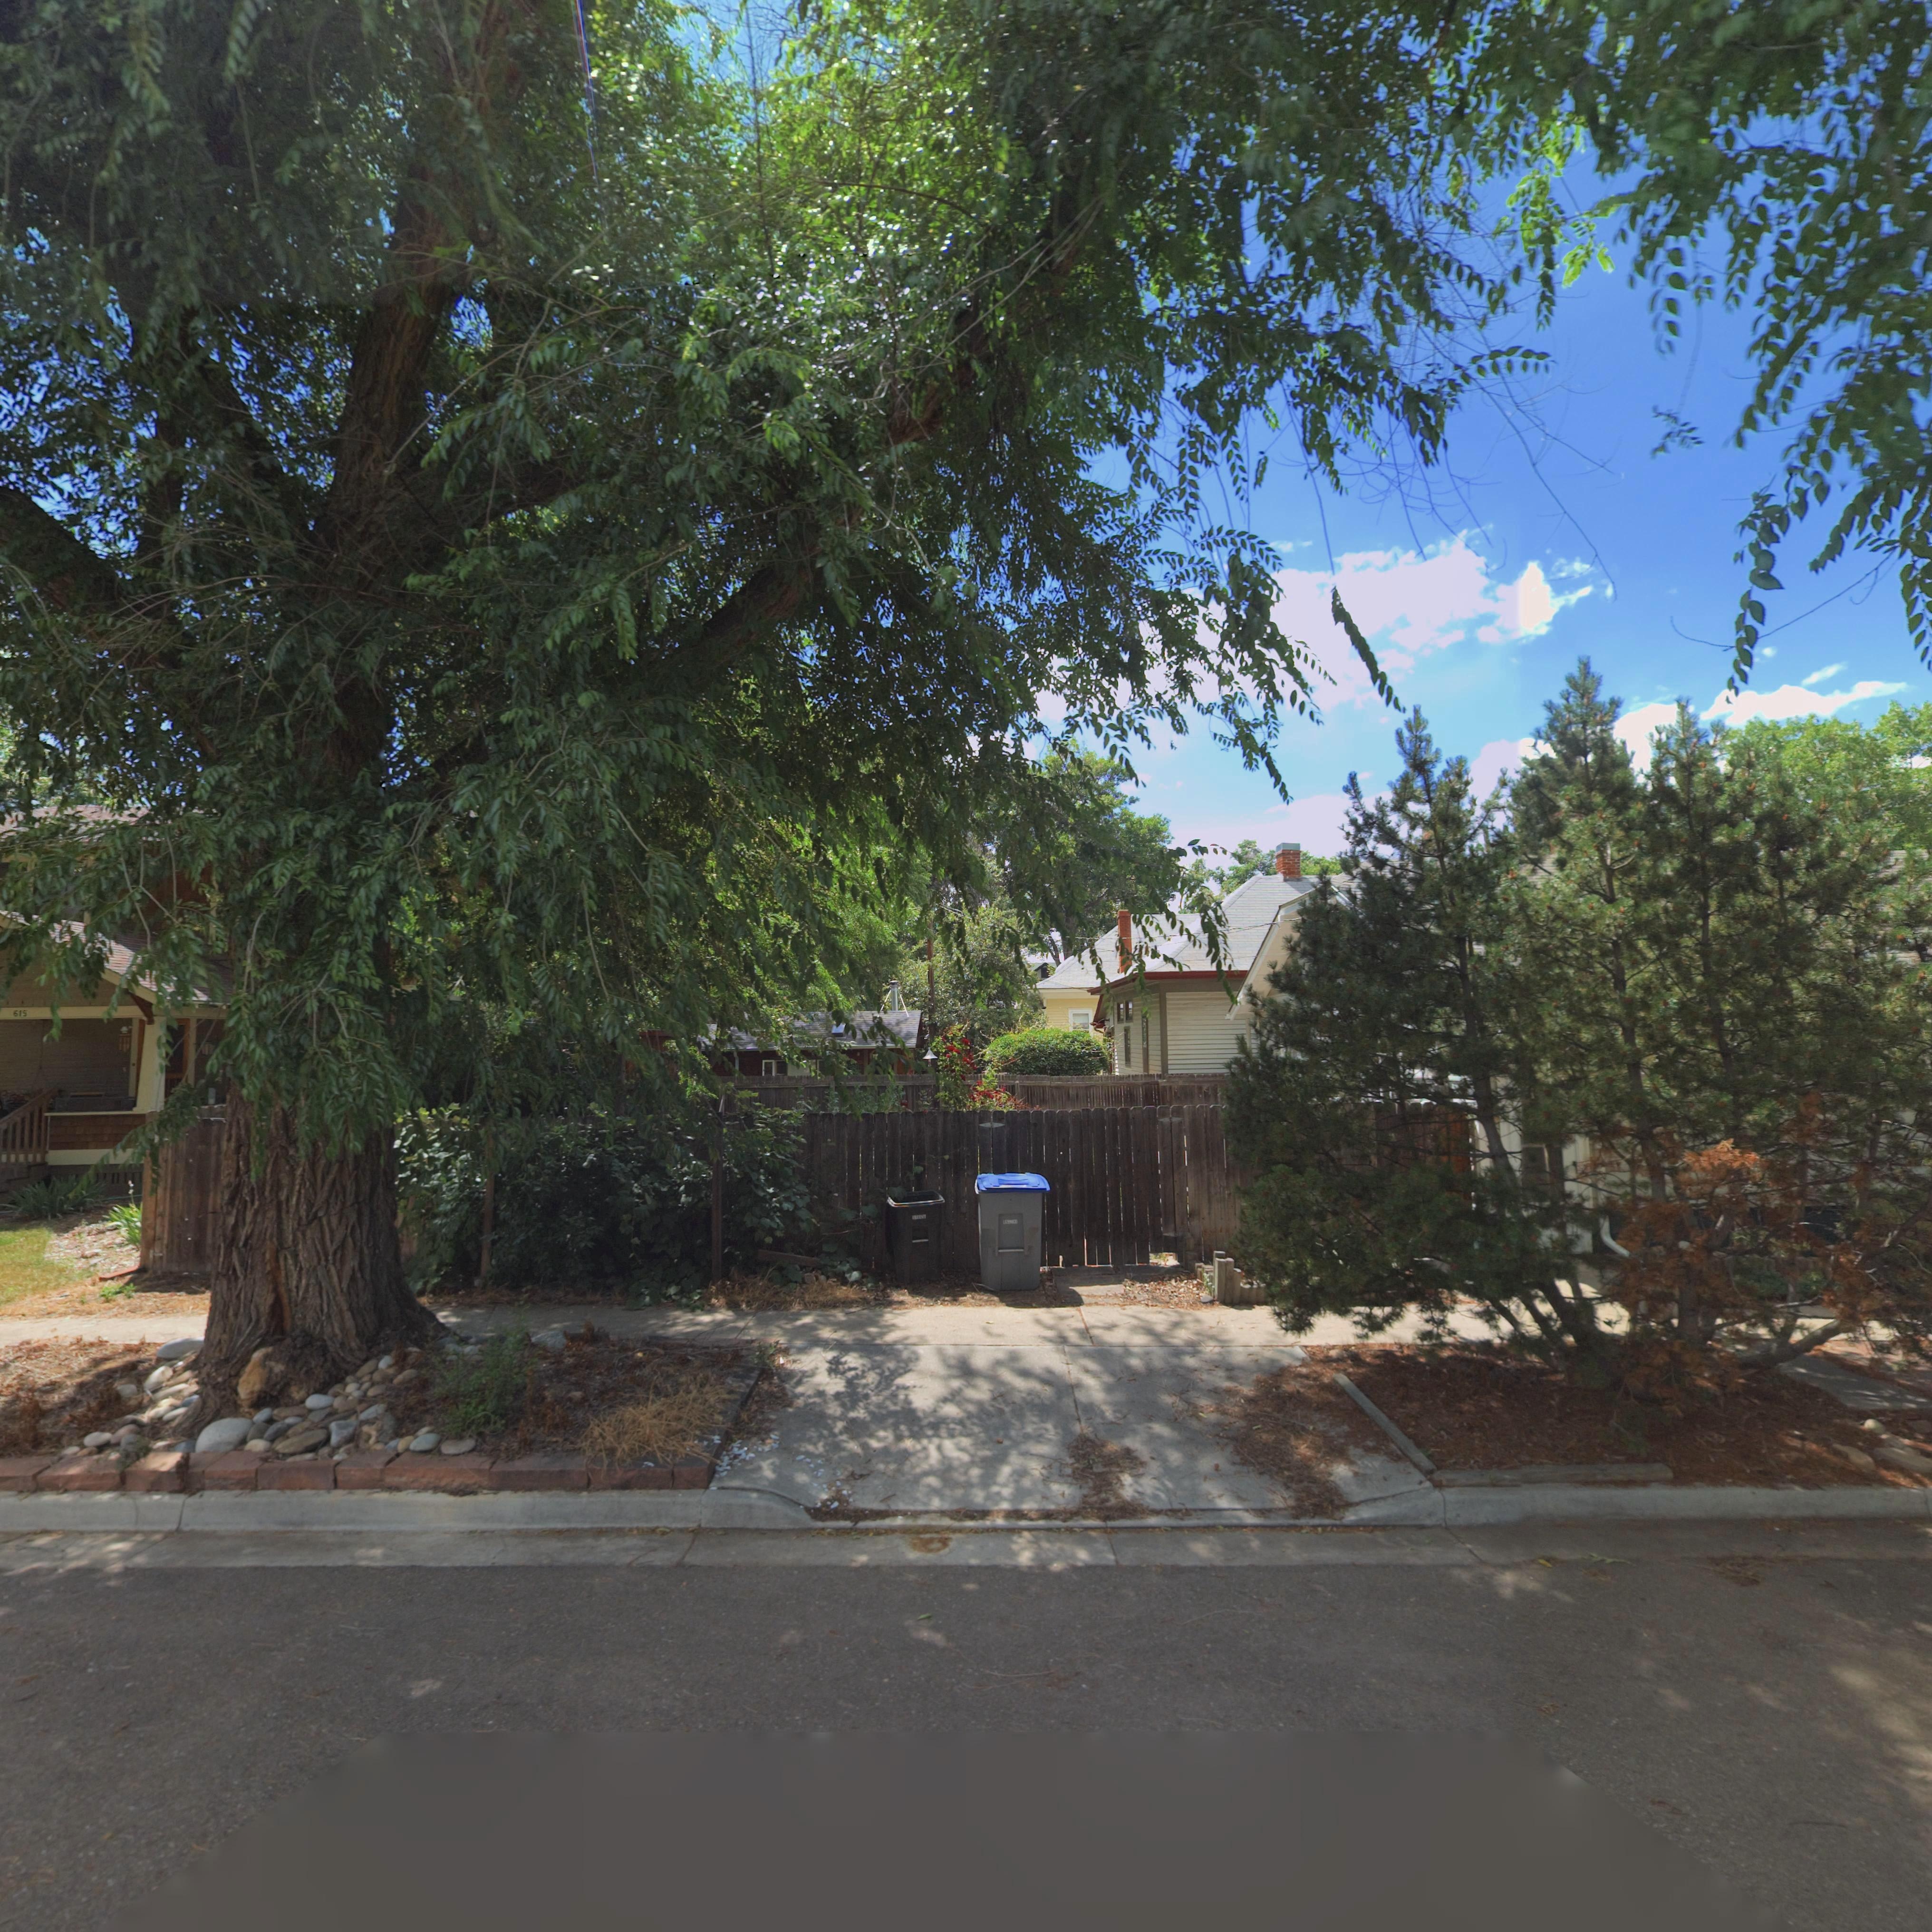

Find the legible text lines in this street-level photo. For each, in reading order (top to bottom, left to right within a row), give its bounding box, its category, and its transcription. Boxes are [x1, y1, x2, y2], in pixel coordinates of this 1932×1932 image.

[12, 1009, 28, 1017] StreetNumber: 615